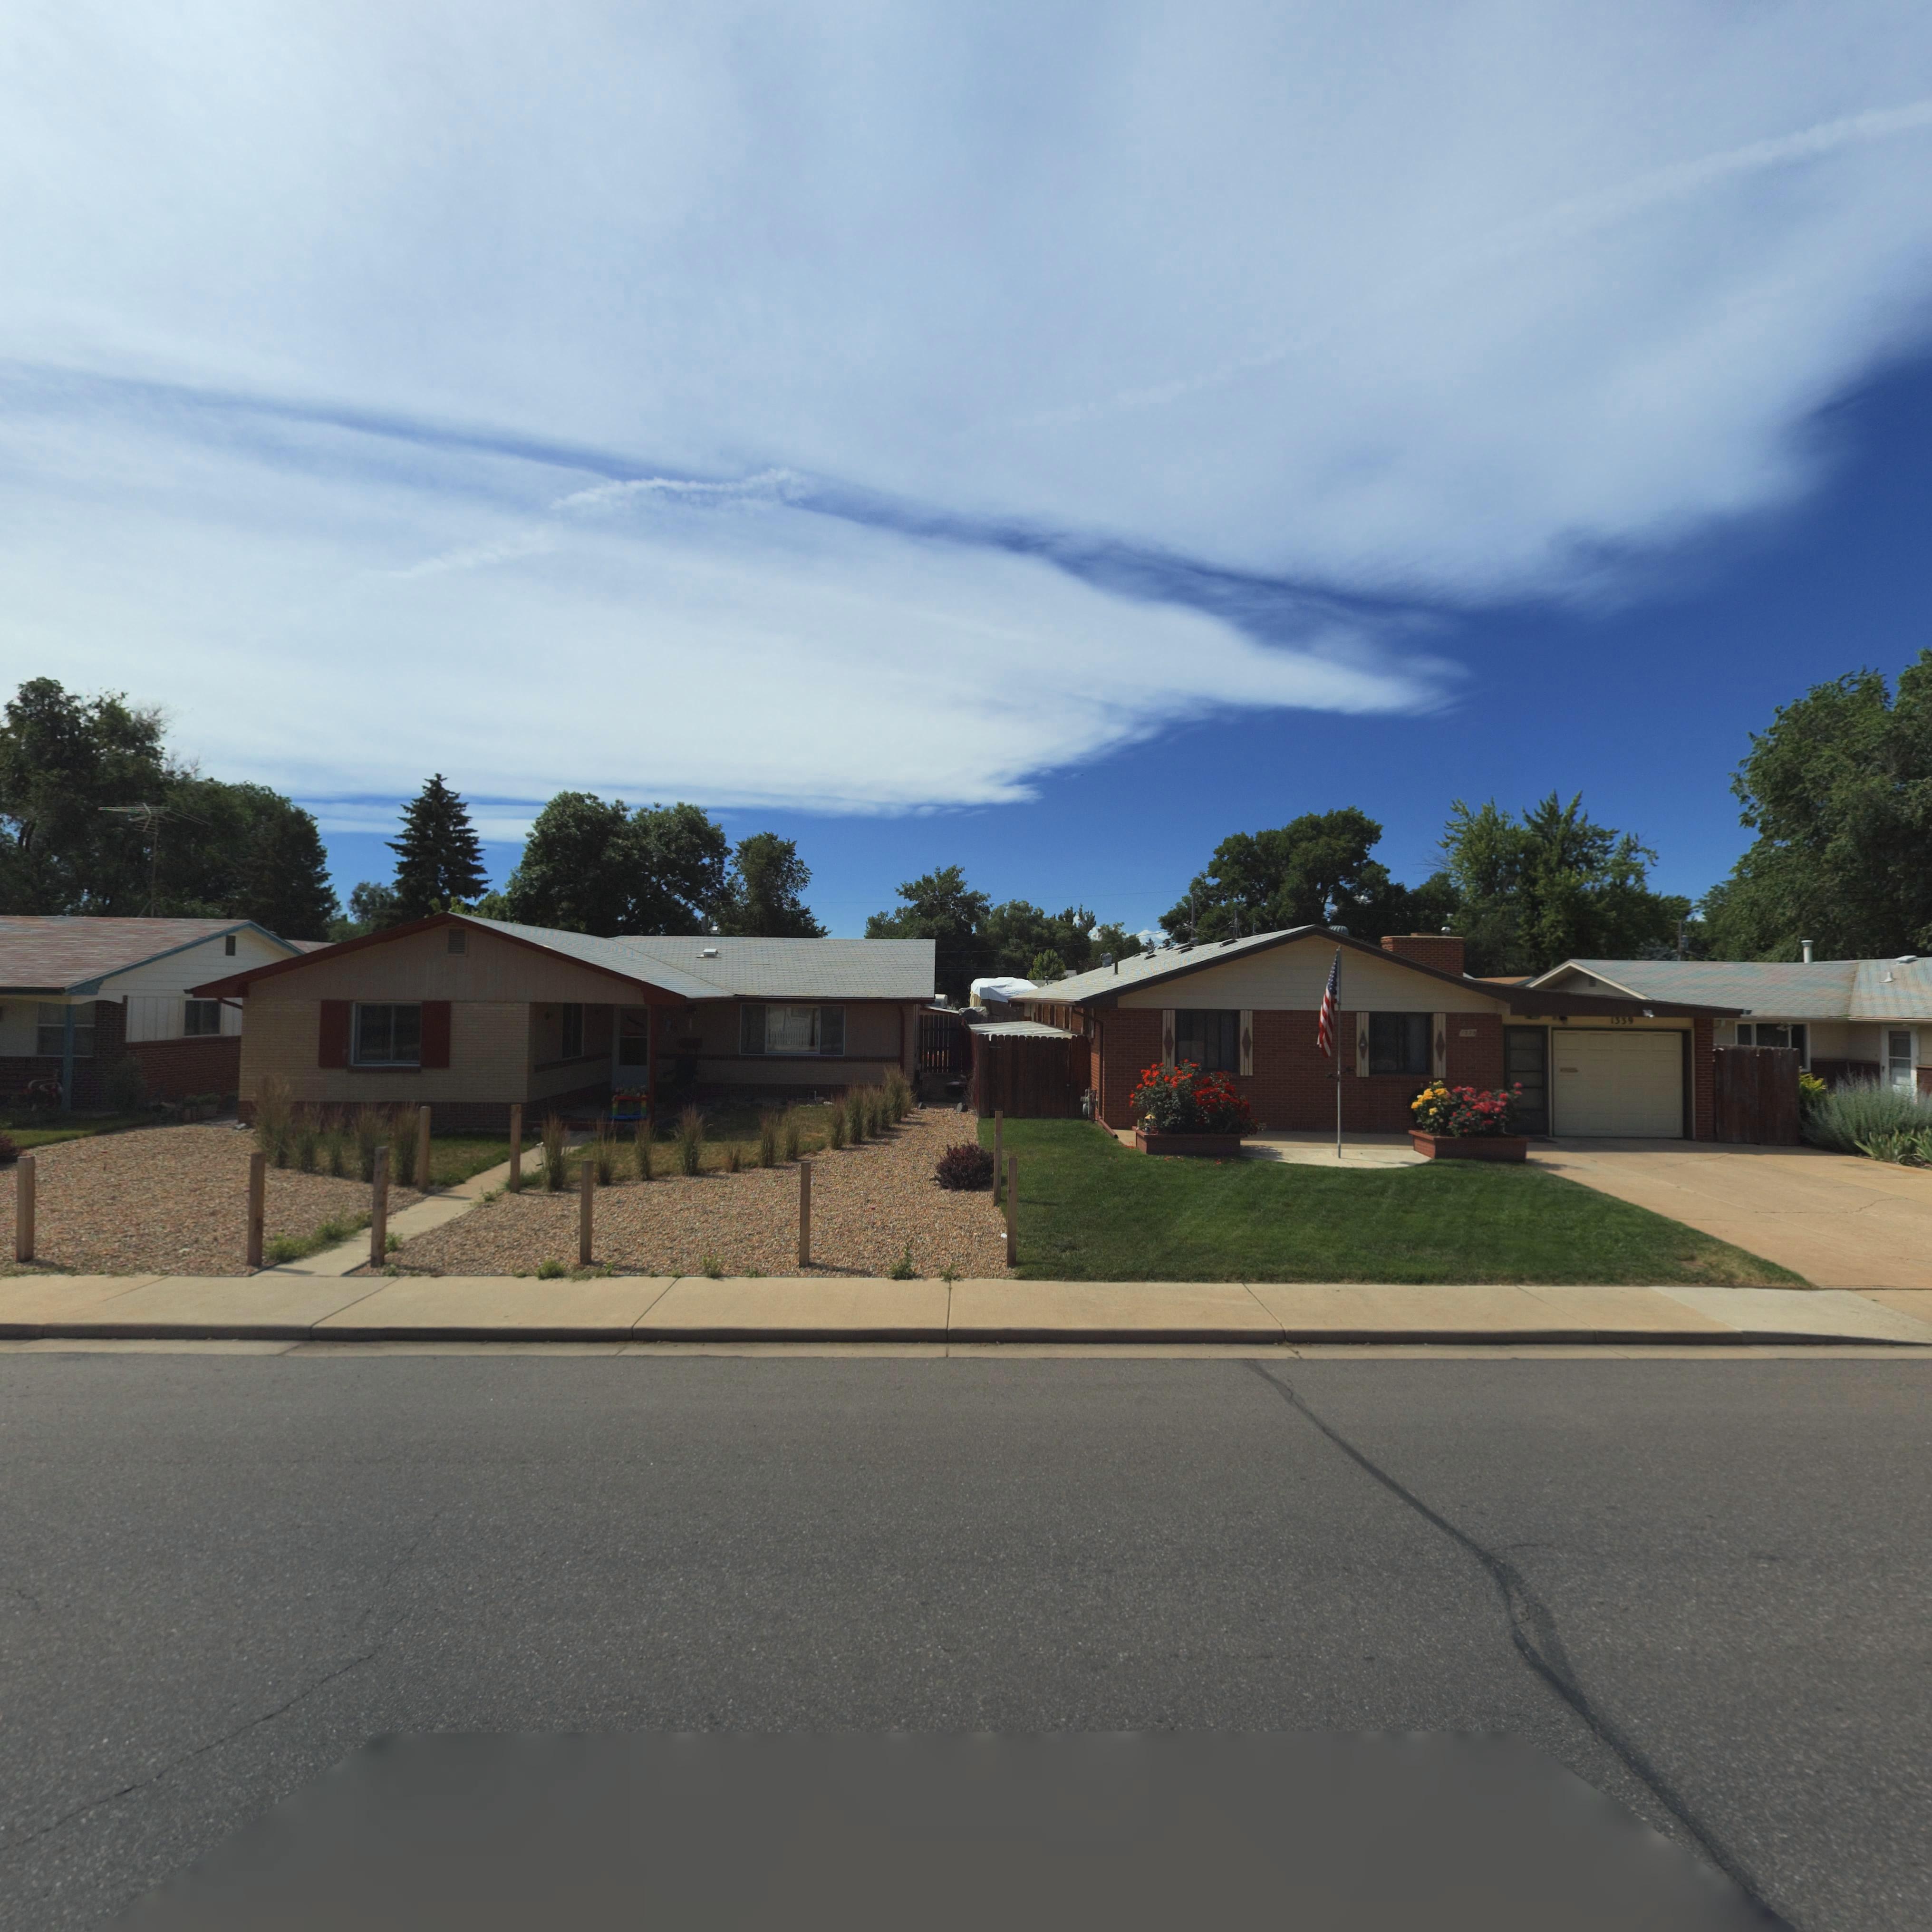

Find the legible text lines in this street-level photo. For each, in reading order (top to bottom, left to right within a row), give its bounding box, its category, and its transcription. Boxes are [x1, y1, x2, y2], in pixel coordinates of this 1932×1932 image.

[1610, 1016, 1633, 1024] StreetNumber: 1339
[1459, 1030, 1476, 1035] StreetNumber: 1339